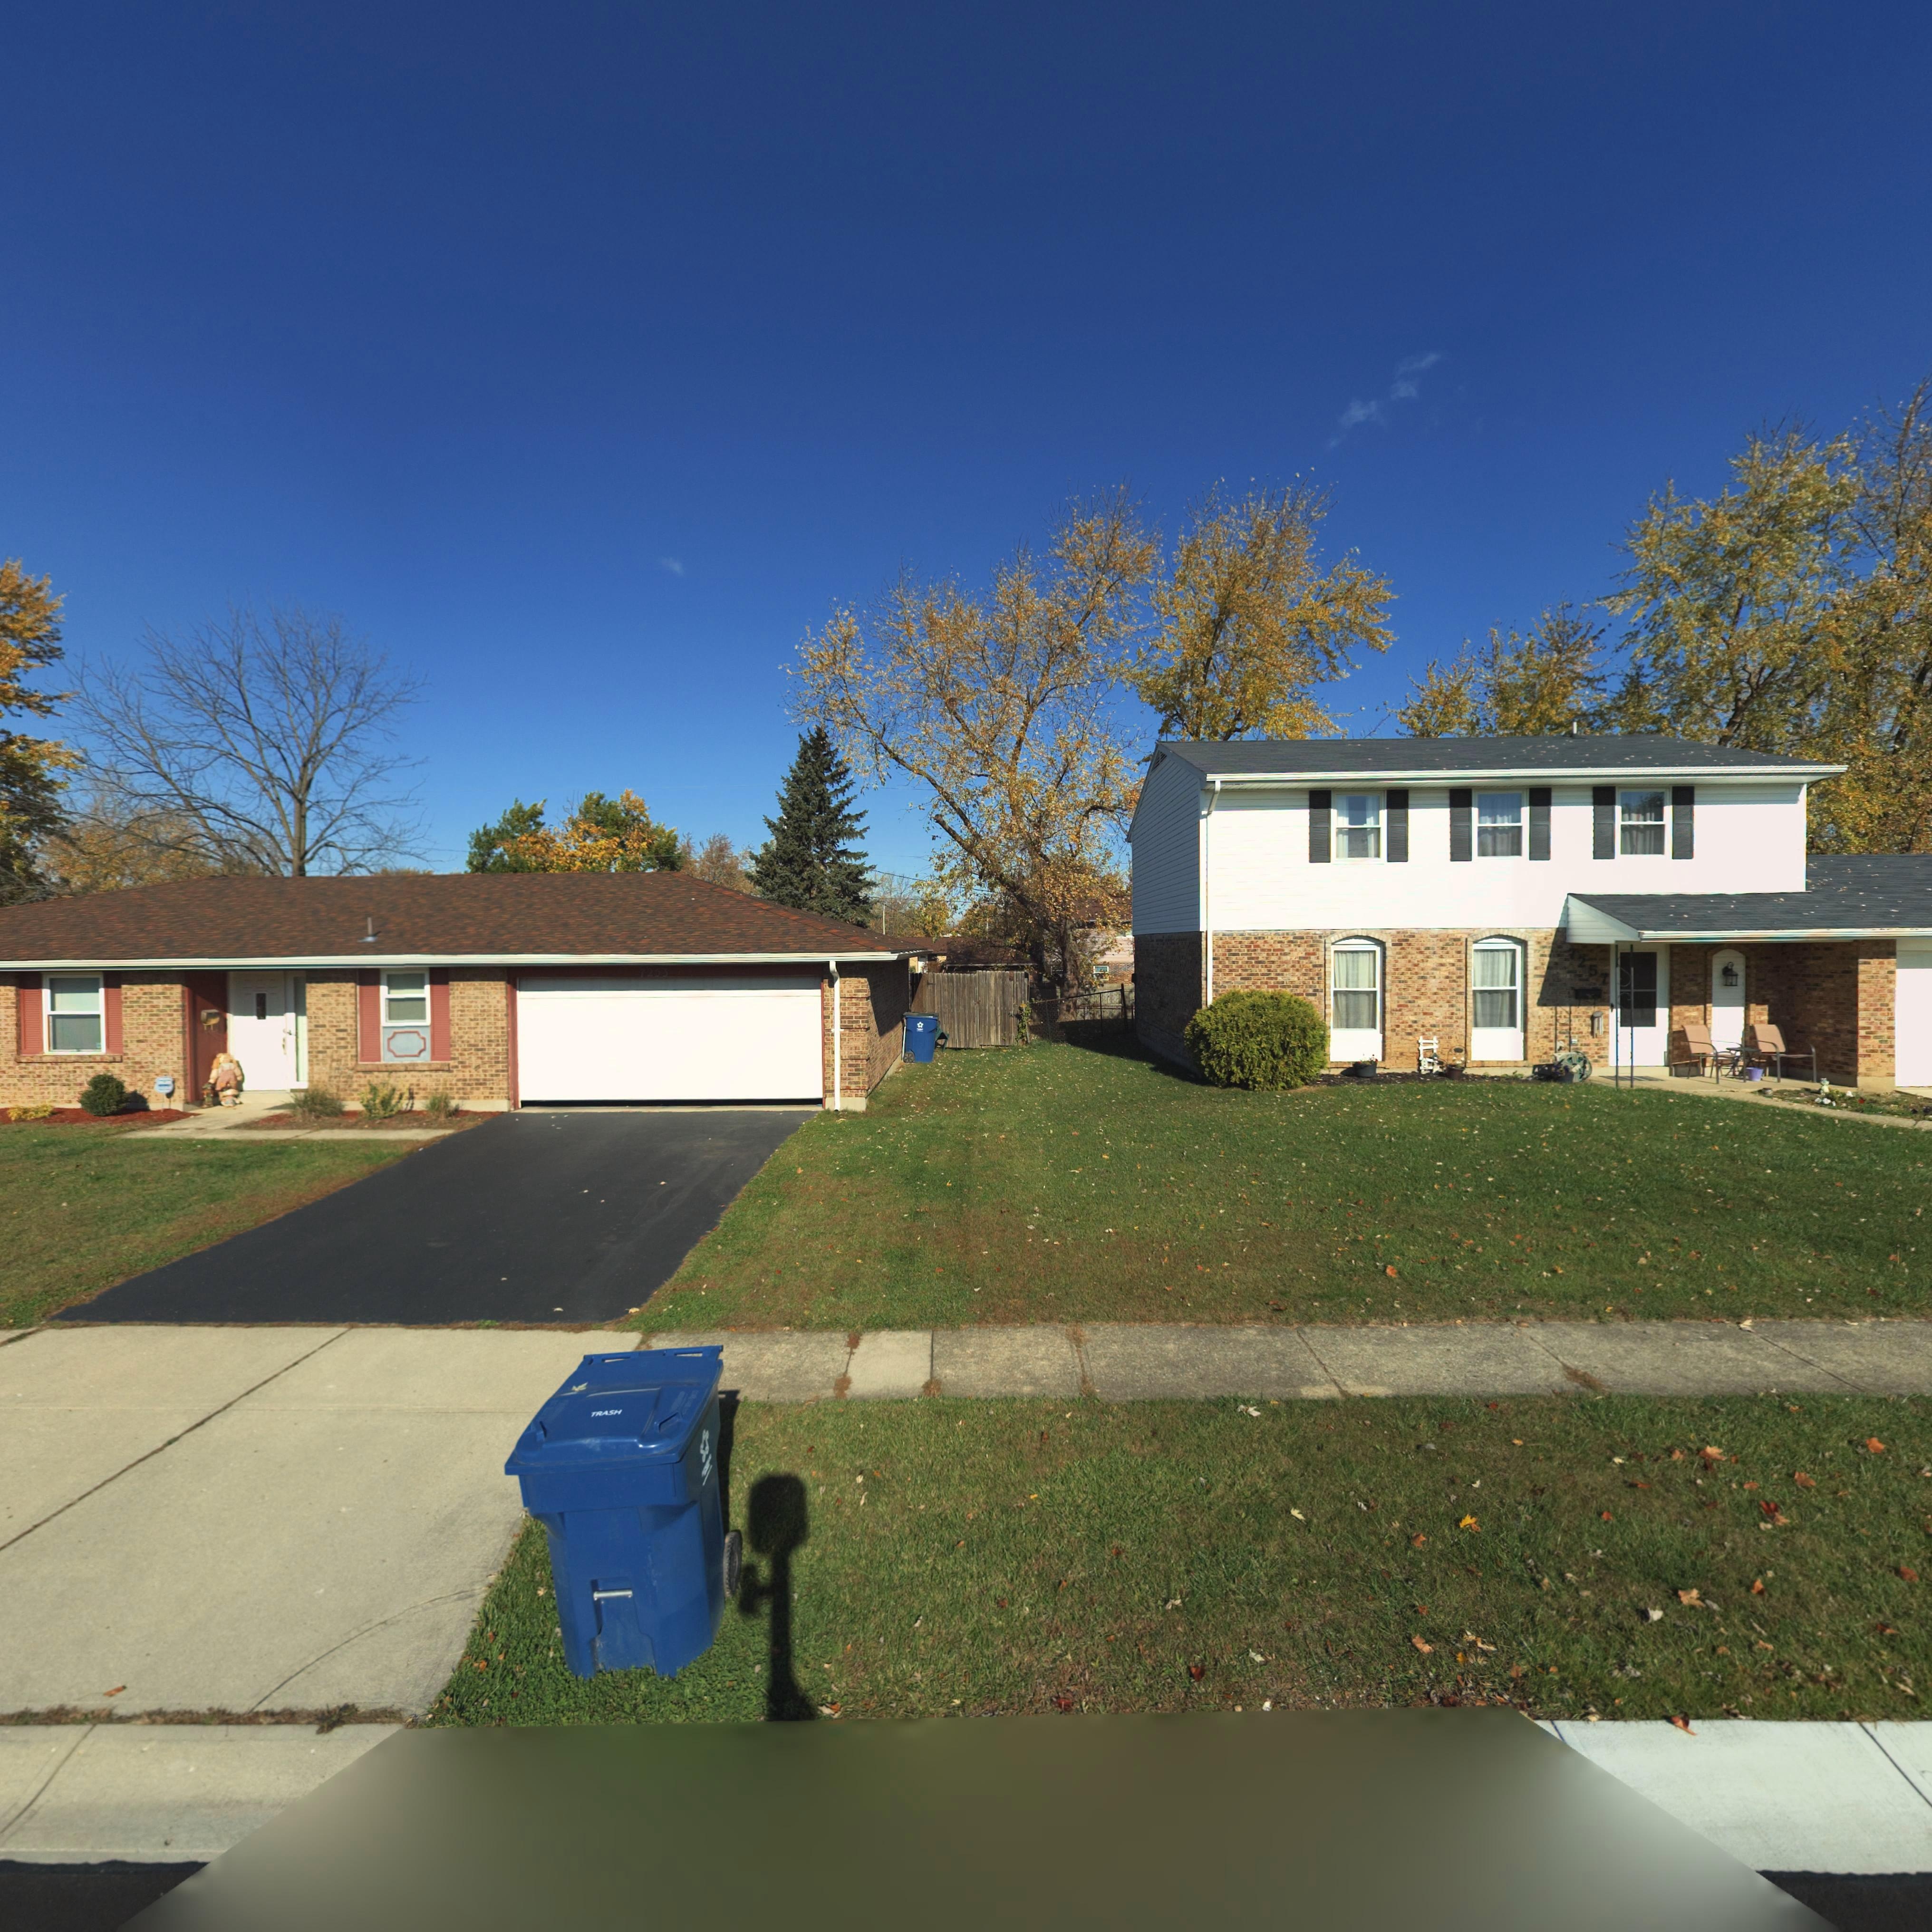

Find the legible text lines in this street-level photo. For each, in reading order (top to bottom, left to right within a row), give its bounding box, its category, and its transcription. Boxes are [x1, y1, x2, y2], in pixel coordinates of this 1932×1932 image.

[1567, 946, 1610, 985] StreetNumber: 7257